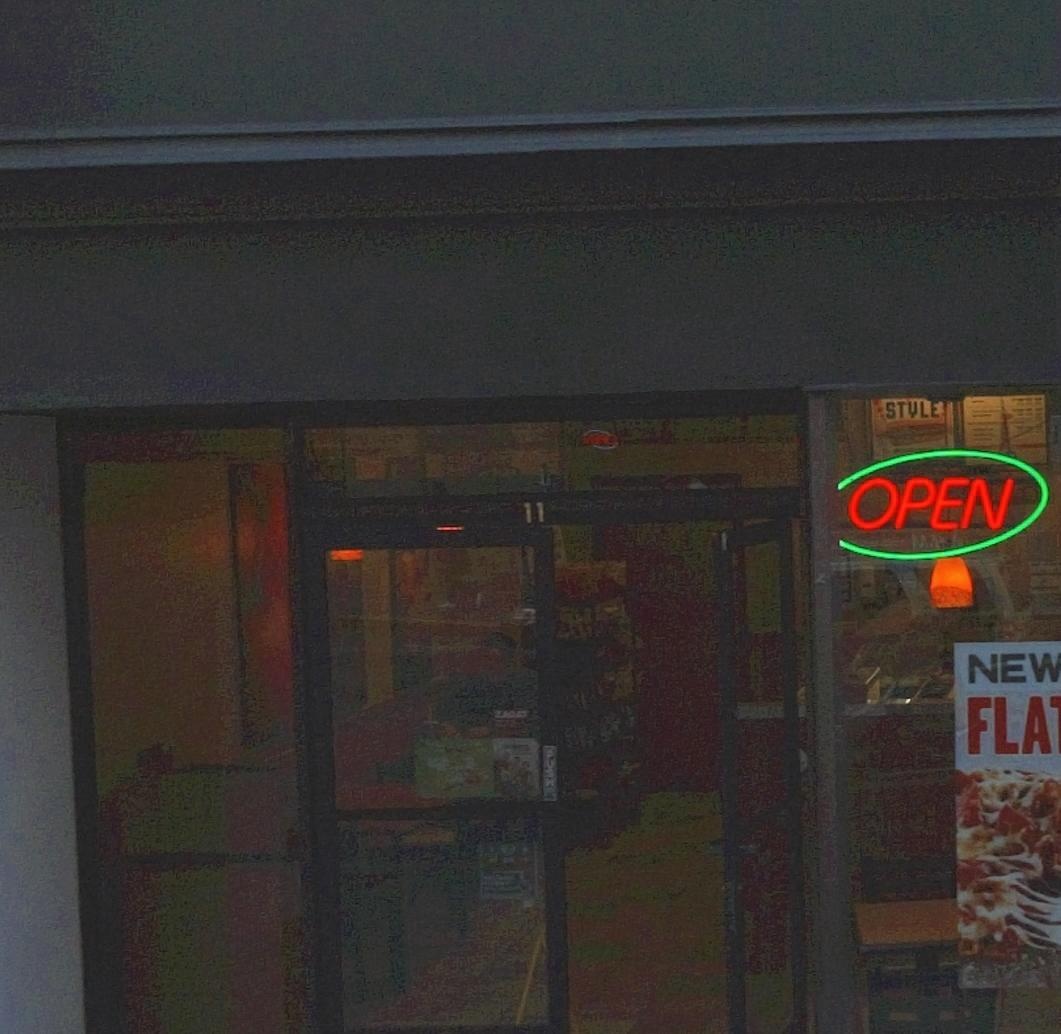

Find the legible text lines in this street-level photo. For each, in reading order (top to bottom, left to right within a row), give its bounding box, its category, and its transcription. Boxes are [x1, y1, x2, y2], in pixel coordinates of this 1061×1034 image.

[885, 399, 941, 420] None: STYLE
[523, 500, 545, 526] StreetNumber: 11
[839, 474, 1019, 533] None: OPEN\
[967, 653, 1061, 685] None: NEW
[493, 710, 531, 719] None: ZA*AT
[967, 696, 1054, 756] None: FLA
[544, 748, 555, 788] None: PUSH